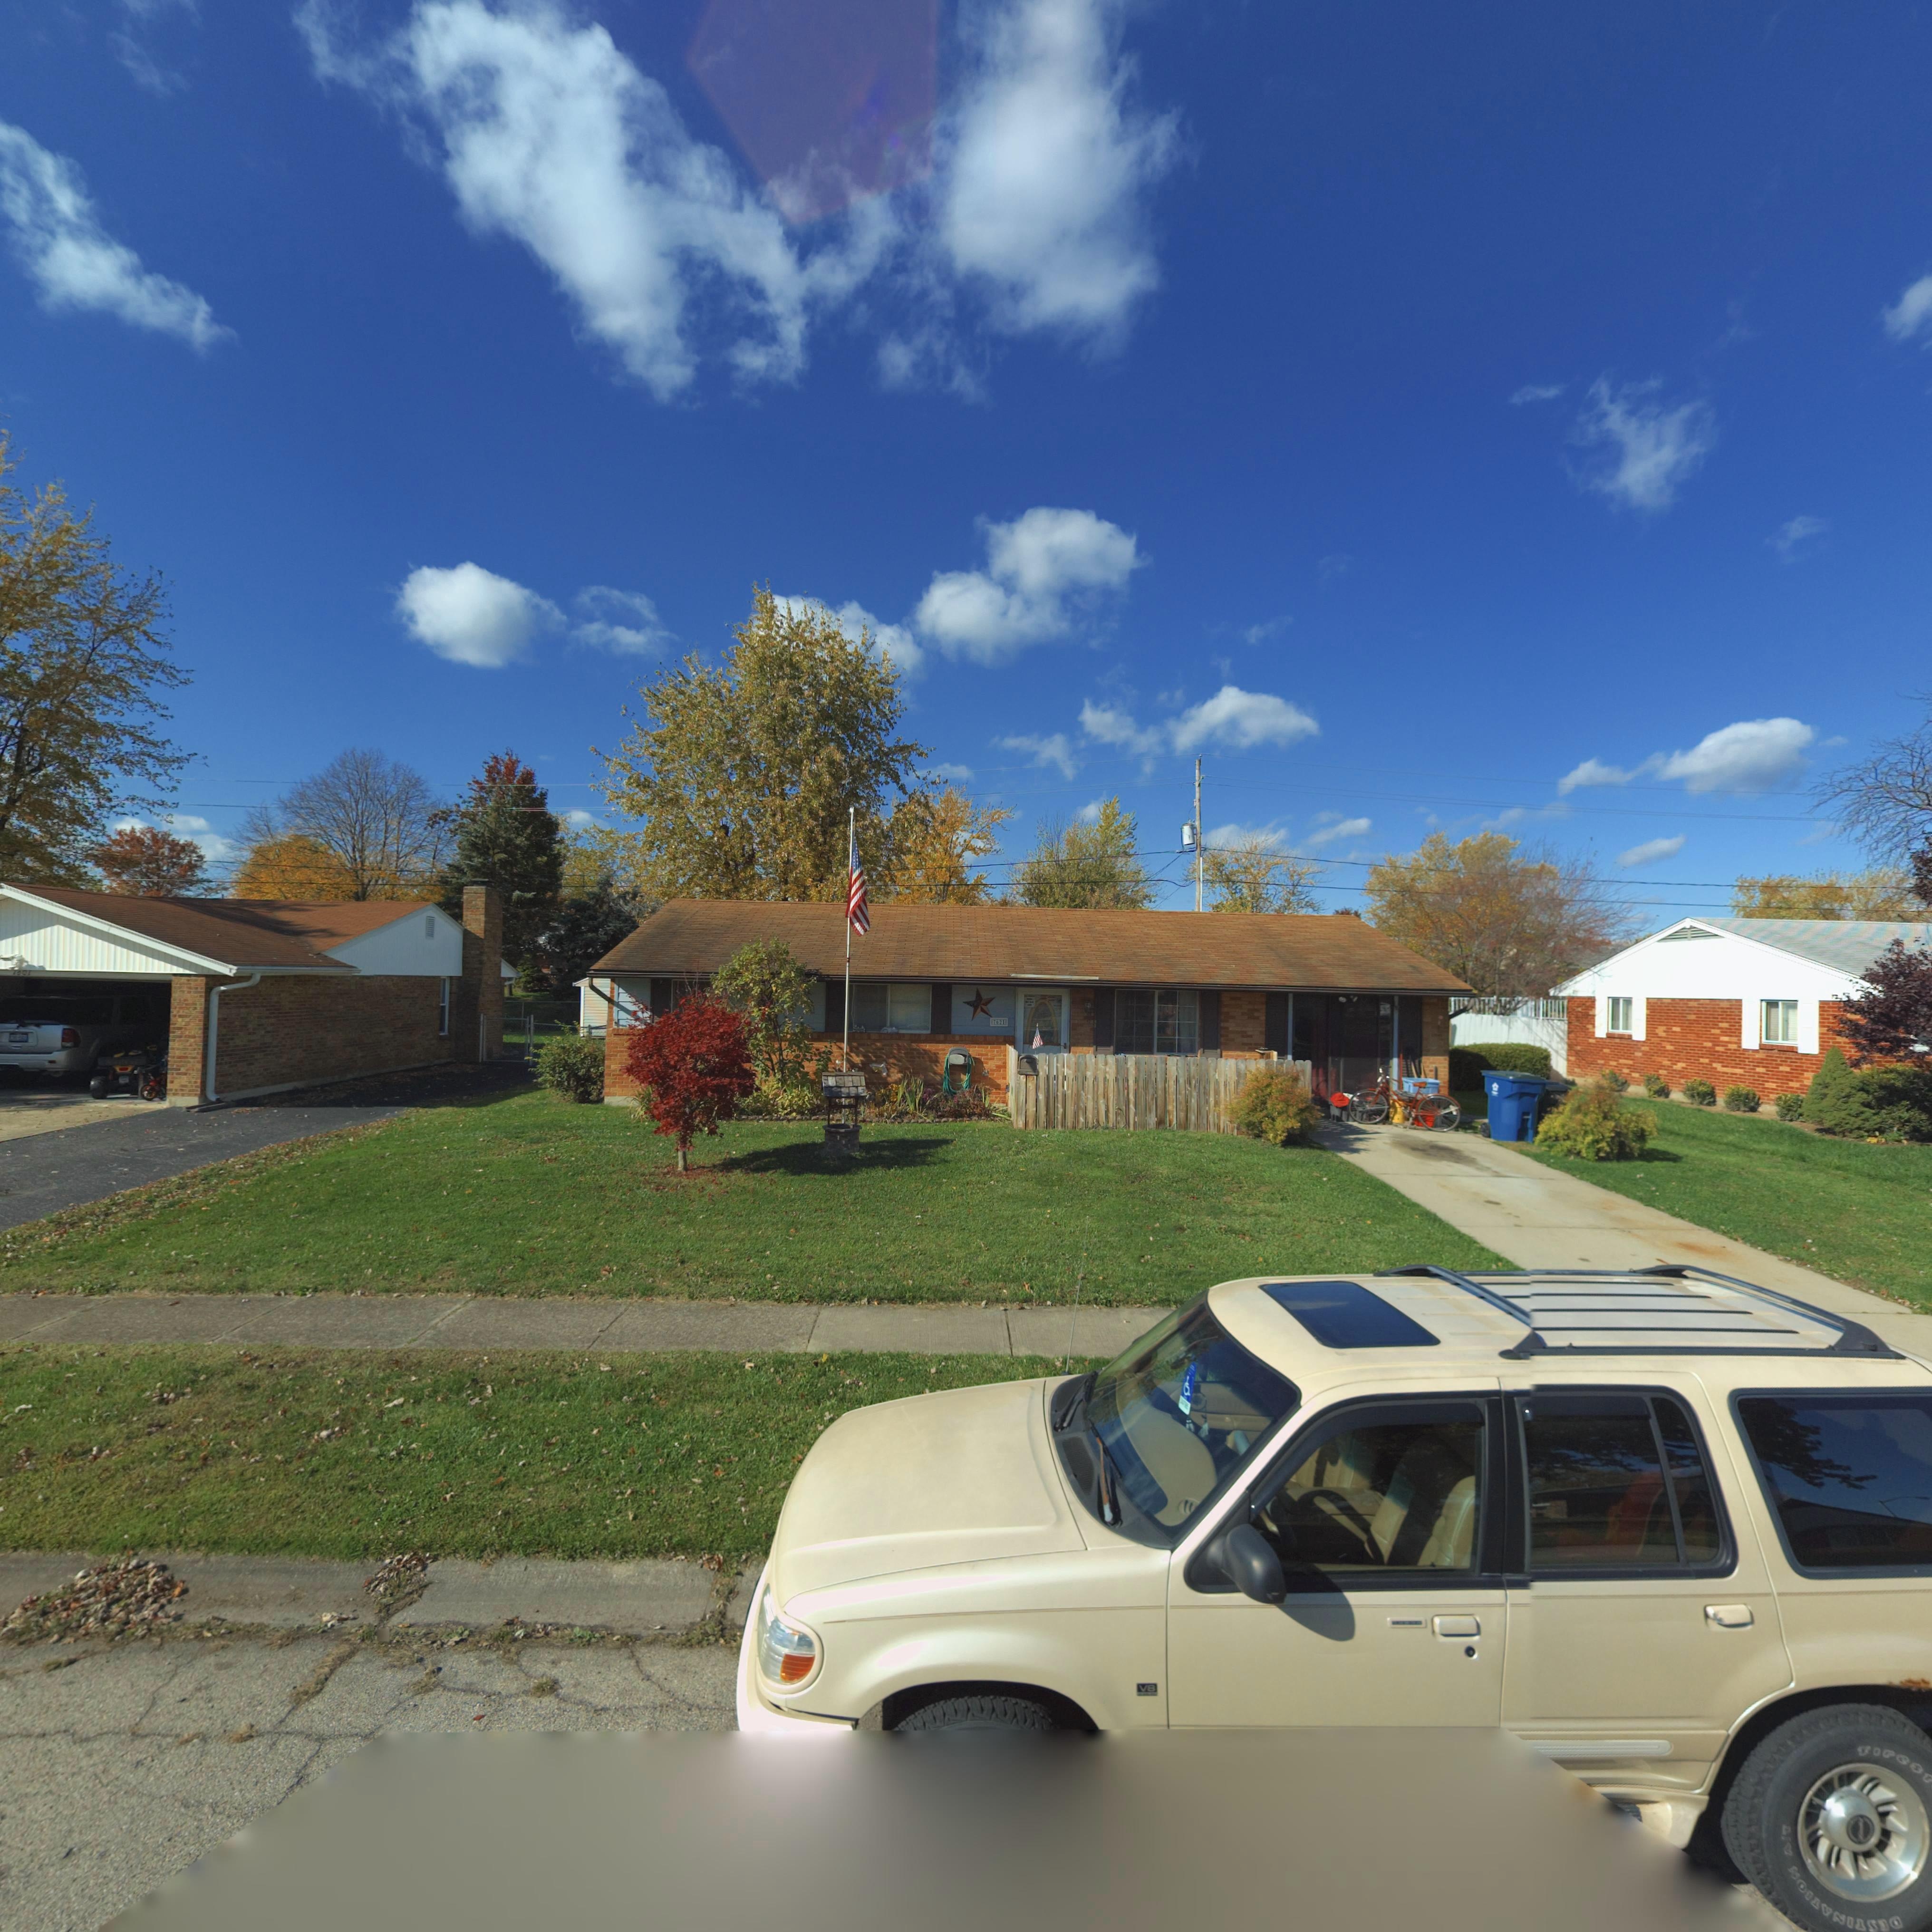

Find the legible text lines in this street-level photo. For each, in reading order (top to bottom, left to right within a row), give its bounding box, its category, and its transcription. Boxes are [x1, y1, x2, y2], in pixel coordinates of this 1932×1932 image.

[992, 1019, 1005, 1025] StreetNumber: 7621